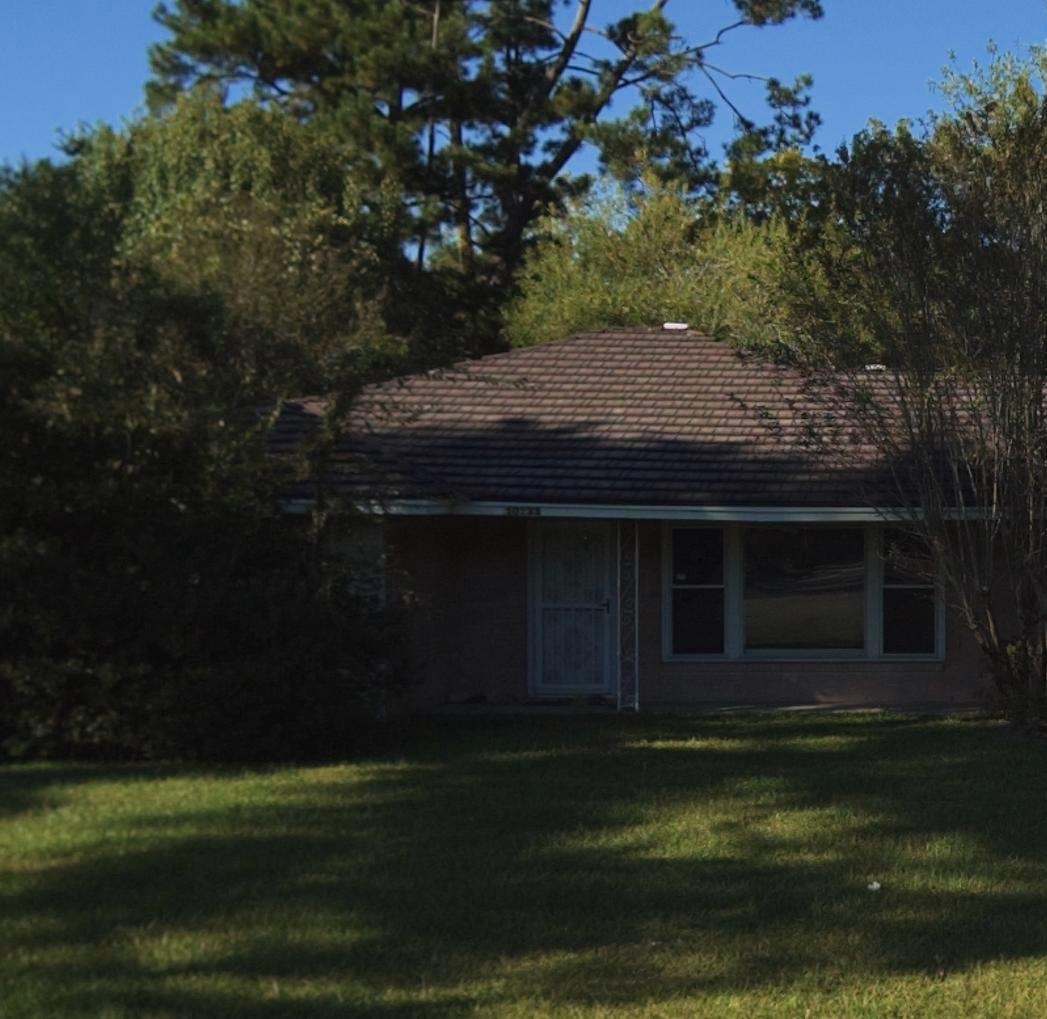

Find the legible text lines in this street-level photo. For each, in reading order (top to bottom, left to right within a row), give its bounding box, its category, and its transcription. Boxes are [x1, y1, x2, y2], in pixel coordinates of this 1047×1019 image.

[504, 505, 541, 517] StreetNumber: 10233